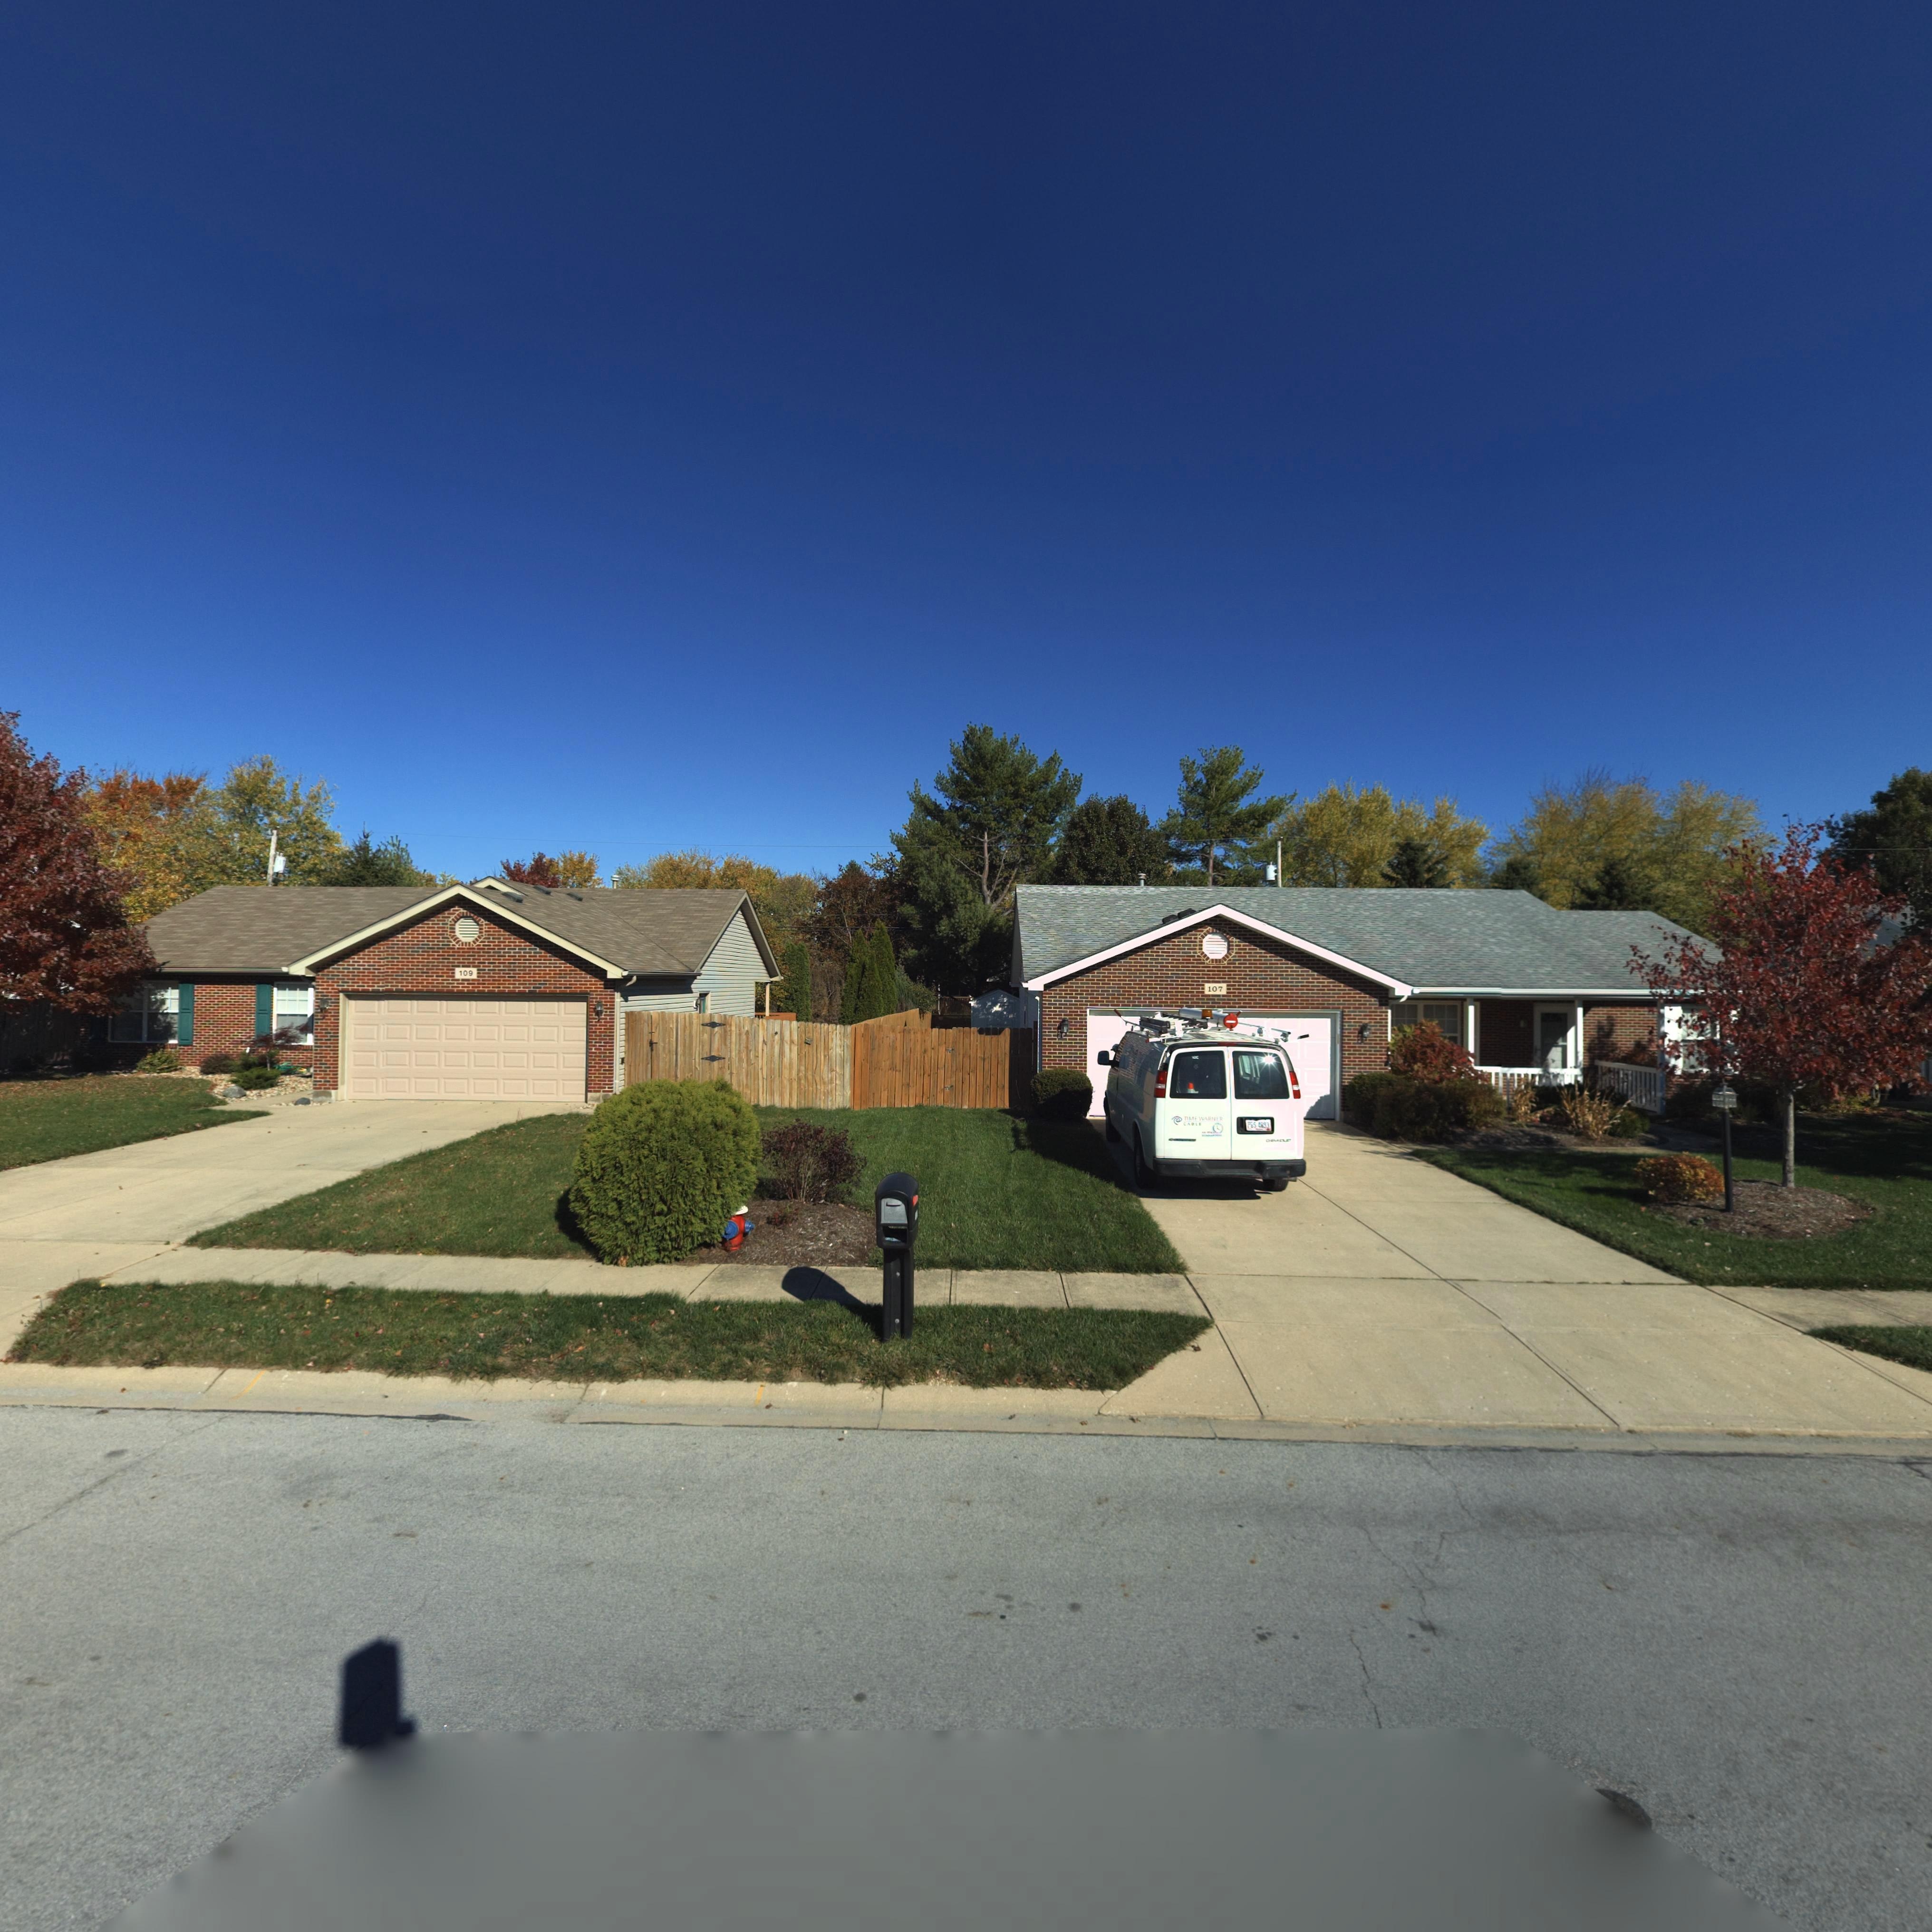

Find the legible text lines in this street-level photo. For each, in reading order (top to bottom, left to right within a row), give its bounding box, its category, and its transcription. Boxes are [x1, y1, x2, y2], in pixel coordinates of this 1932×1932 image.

[459, 970, 473, 976] StreetNumber: 109
[1207, 986, 1223, 992] StreetNumber: 107
[1183, 1115, 1223, 1122] None: TIME WARNER
[1182, 1121, 1202, 1127] None: CABLE
[1246, 1121, 1271, 1129] None: p** 4893